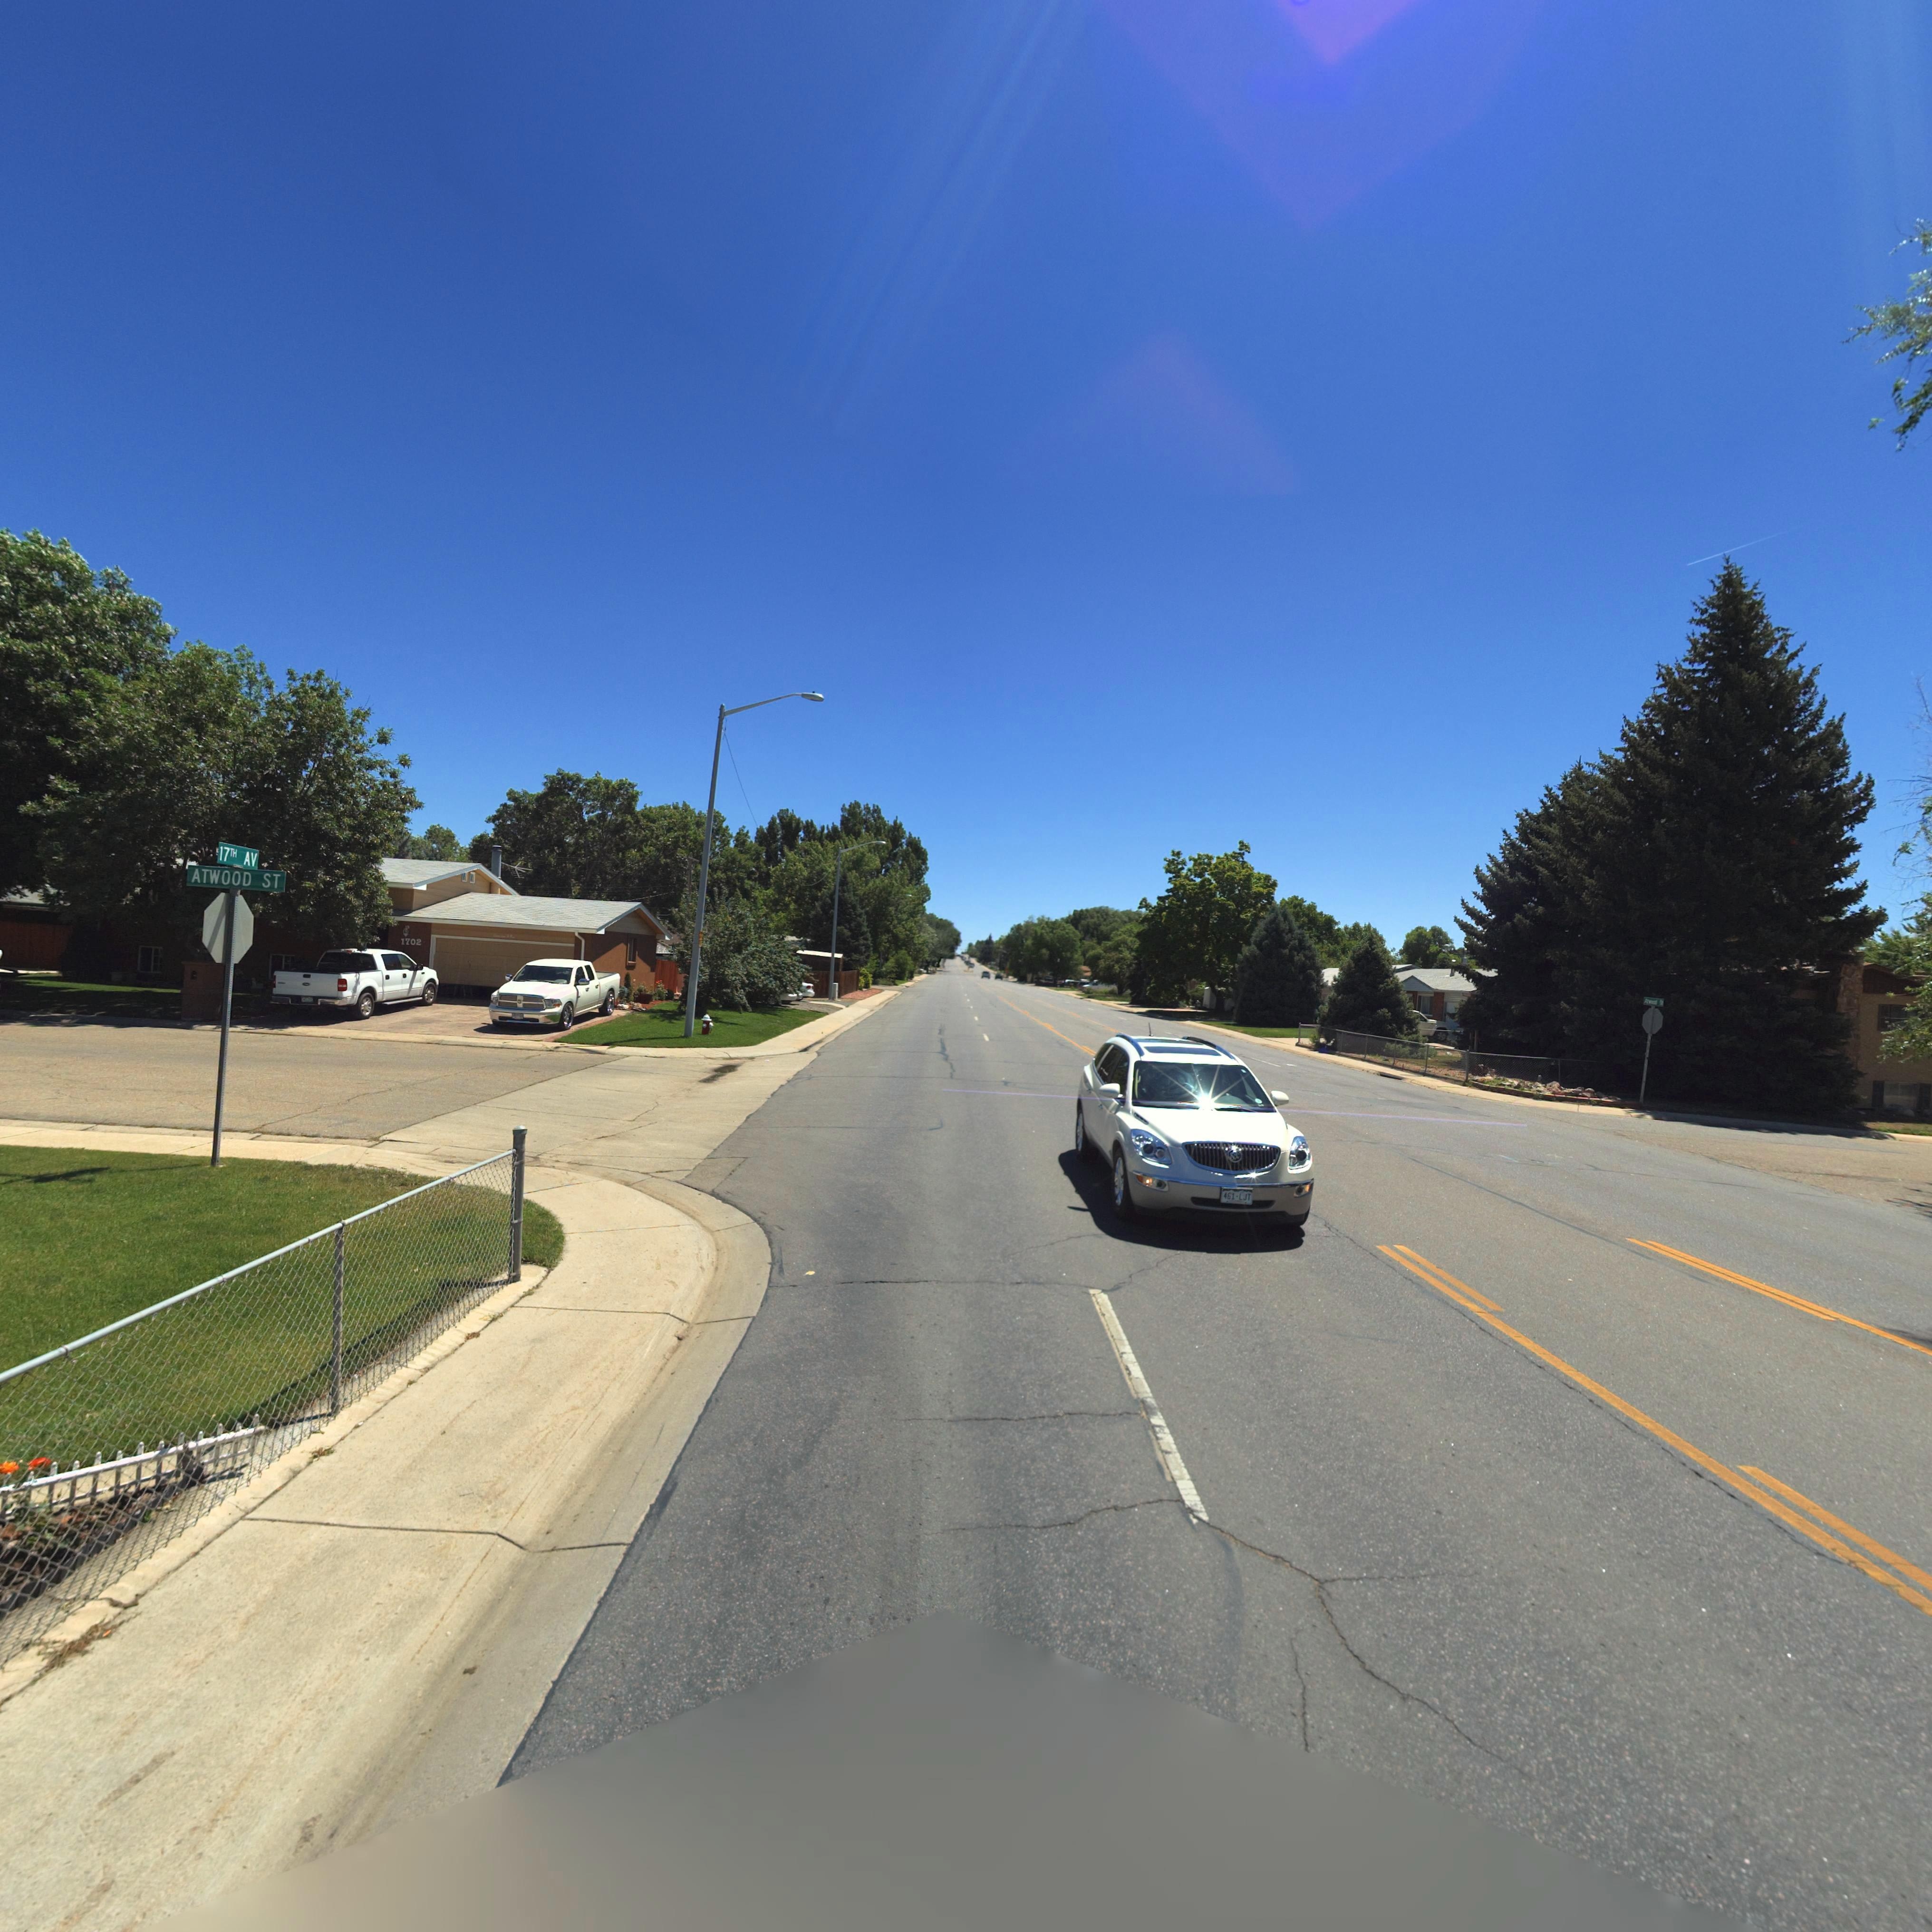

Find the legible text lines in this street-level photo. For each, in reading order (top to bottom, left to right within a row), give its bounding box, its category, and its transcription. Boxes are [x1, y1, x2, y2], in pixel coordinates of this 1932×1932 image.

[219, 846, 257, 867] StreetName: 17TH AV
[191, 868, 281, 889] StreetName: ATWOOD ST
[401, 938, 421, 946] StreetNumber: 1702
[1643, 998, 1663, 1005] StreetName: A****d S*